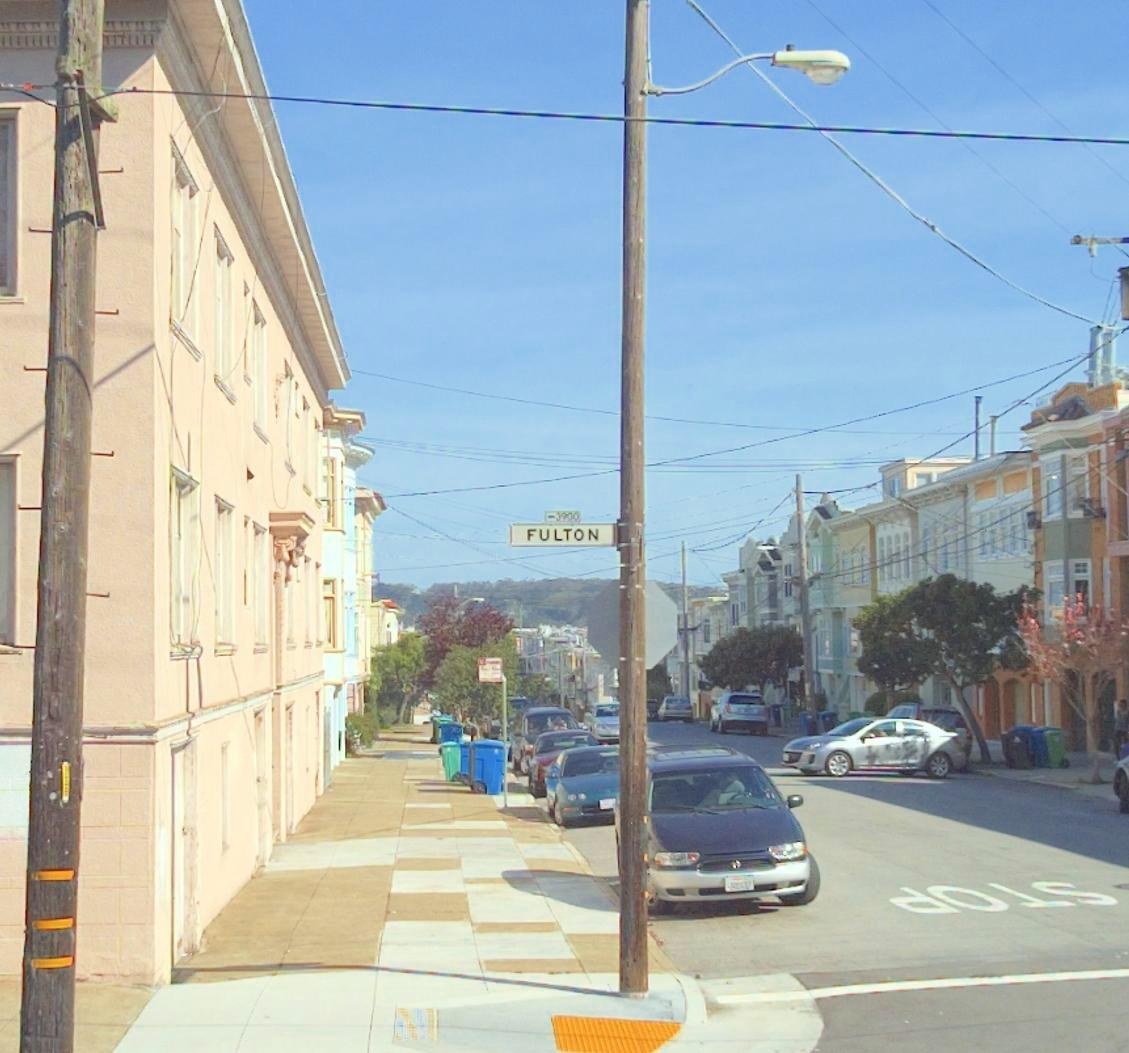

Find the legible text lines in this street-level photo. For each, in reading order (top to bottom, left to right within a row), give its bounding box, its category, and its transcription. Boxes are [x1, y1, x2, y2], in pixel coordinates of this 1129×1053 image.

[545, 511, 580, 522] StreetNumberRange: <-3900
[526, 526, 601, 543] StreetName: FULTON